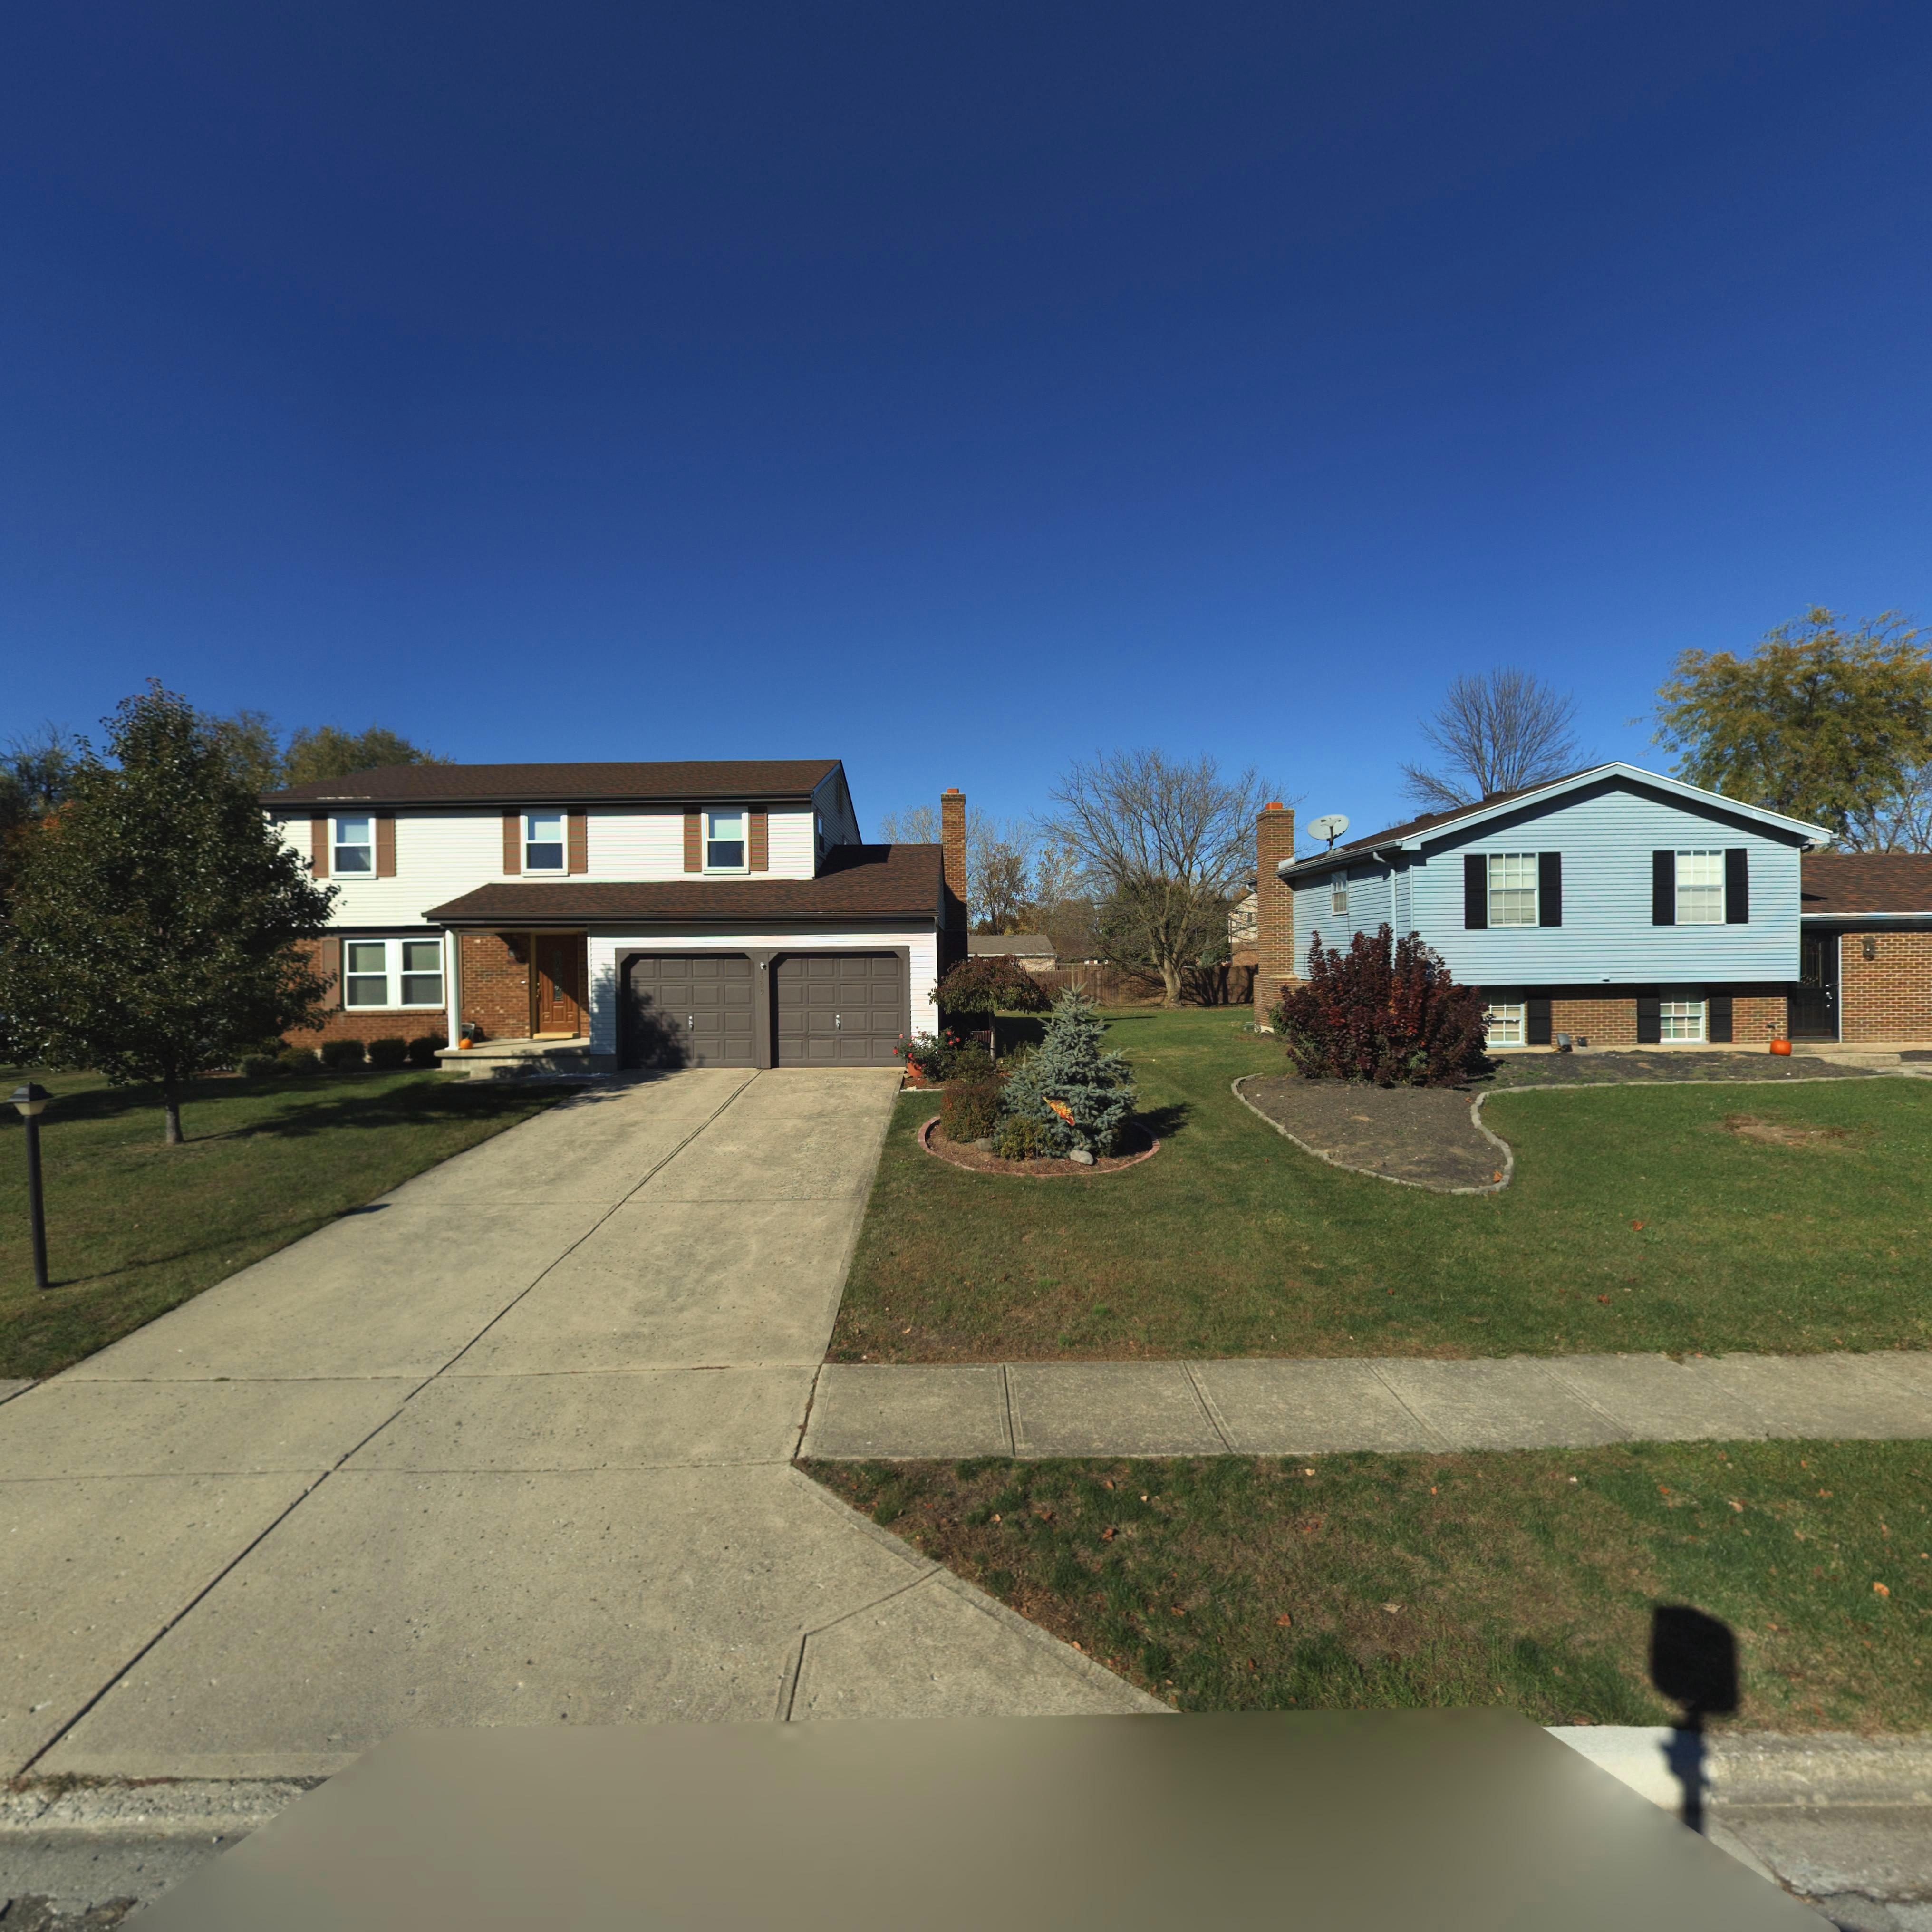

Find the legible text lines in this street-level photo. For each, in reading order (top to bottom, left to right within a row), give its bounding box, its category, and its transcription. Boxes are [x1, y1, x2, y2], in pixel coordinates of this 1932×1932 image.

[759, 969, 764, 995] StreetNumber: 4209